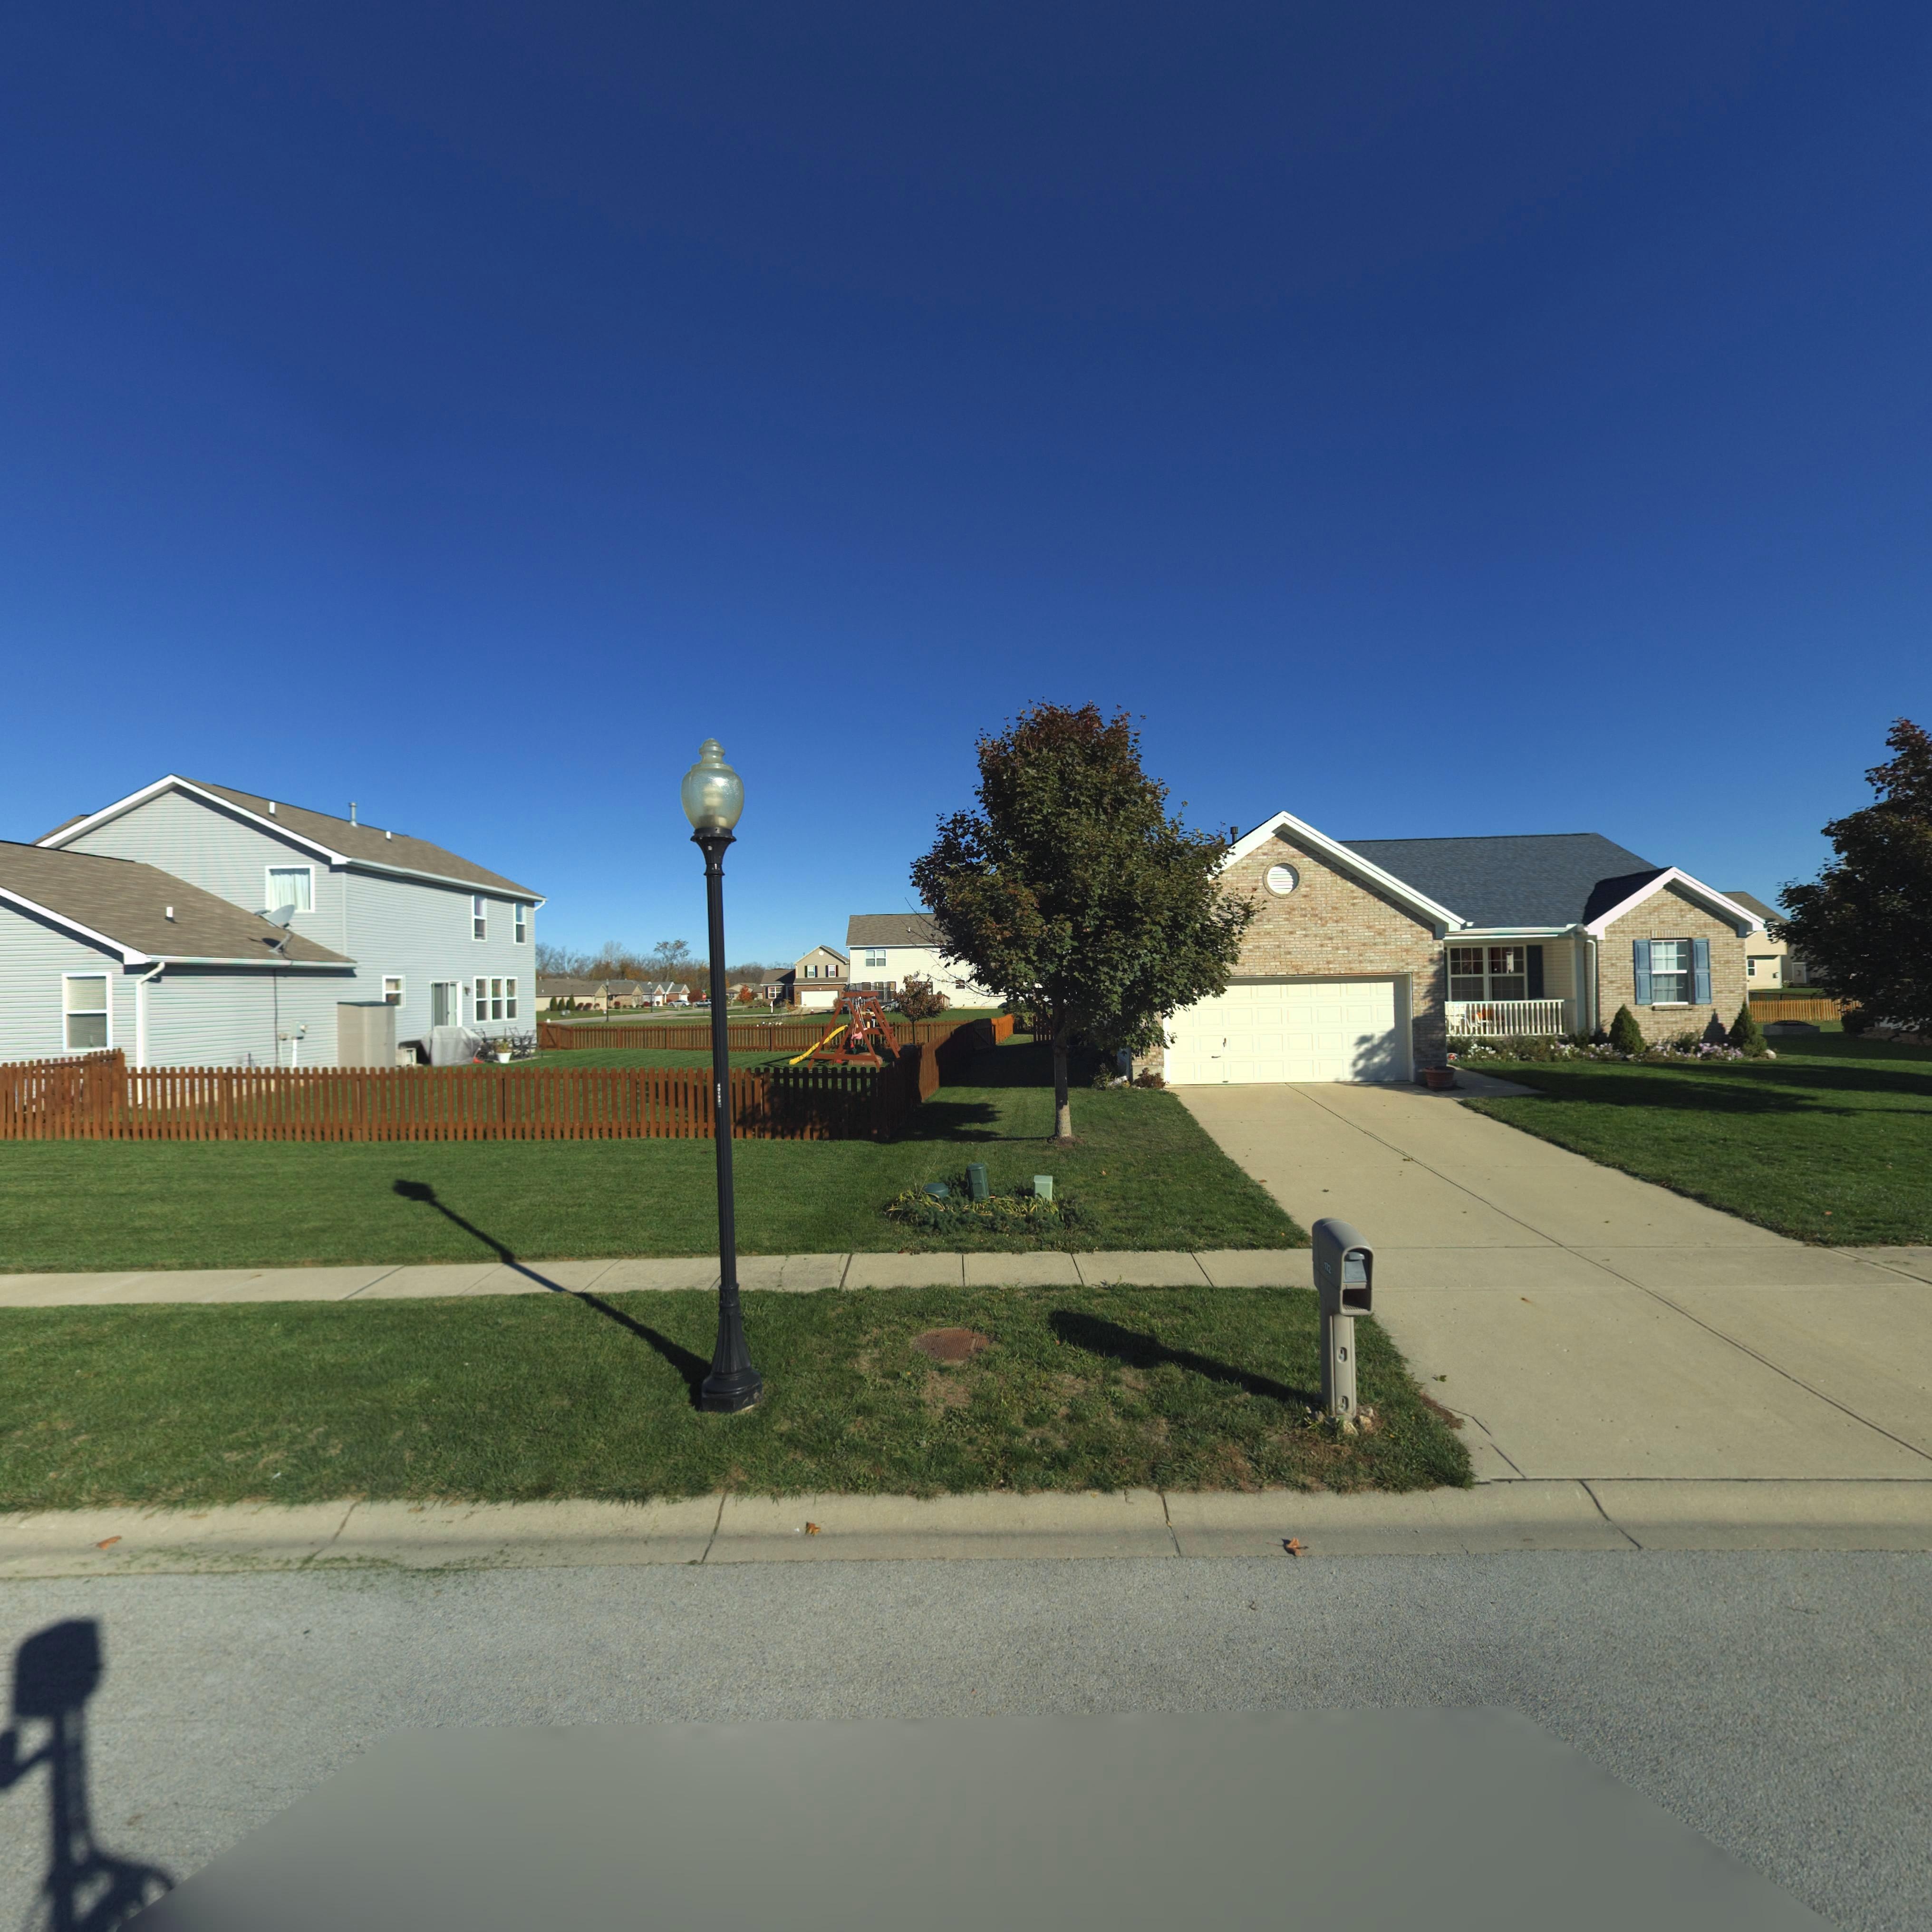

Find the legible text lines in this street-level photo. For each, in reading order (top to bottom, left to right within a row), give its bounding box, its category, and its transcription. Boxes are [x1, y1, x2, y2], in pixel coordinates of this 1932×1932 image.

[1323, 1261, 1332, 1275] StreetNumber: 172